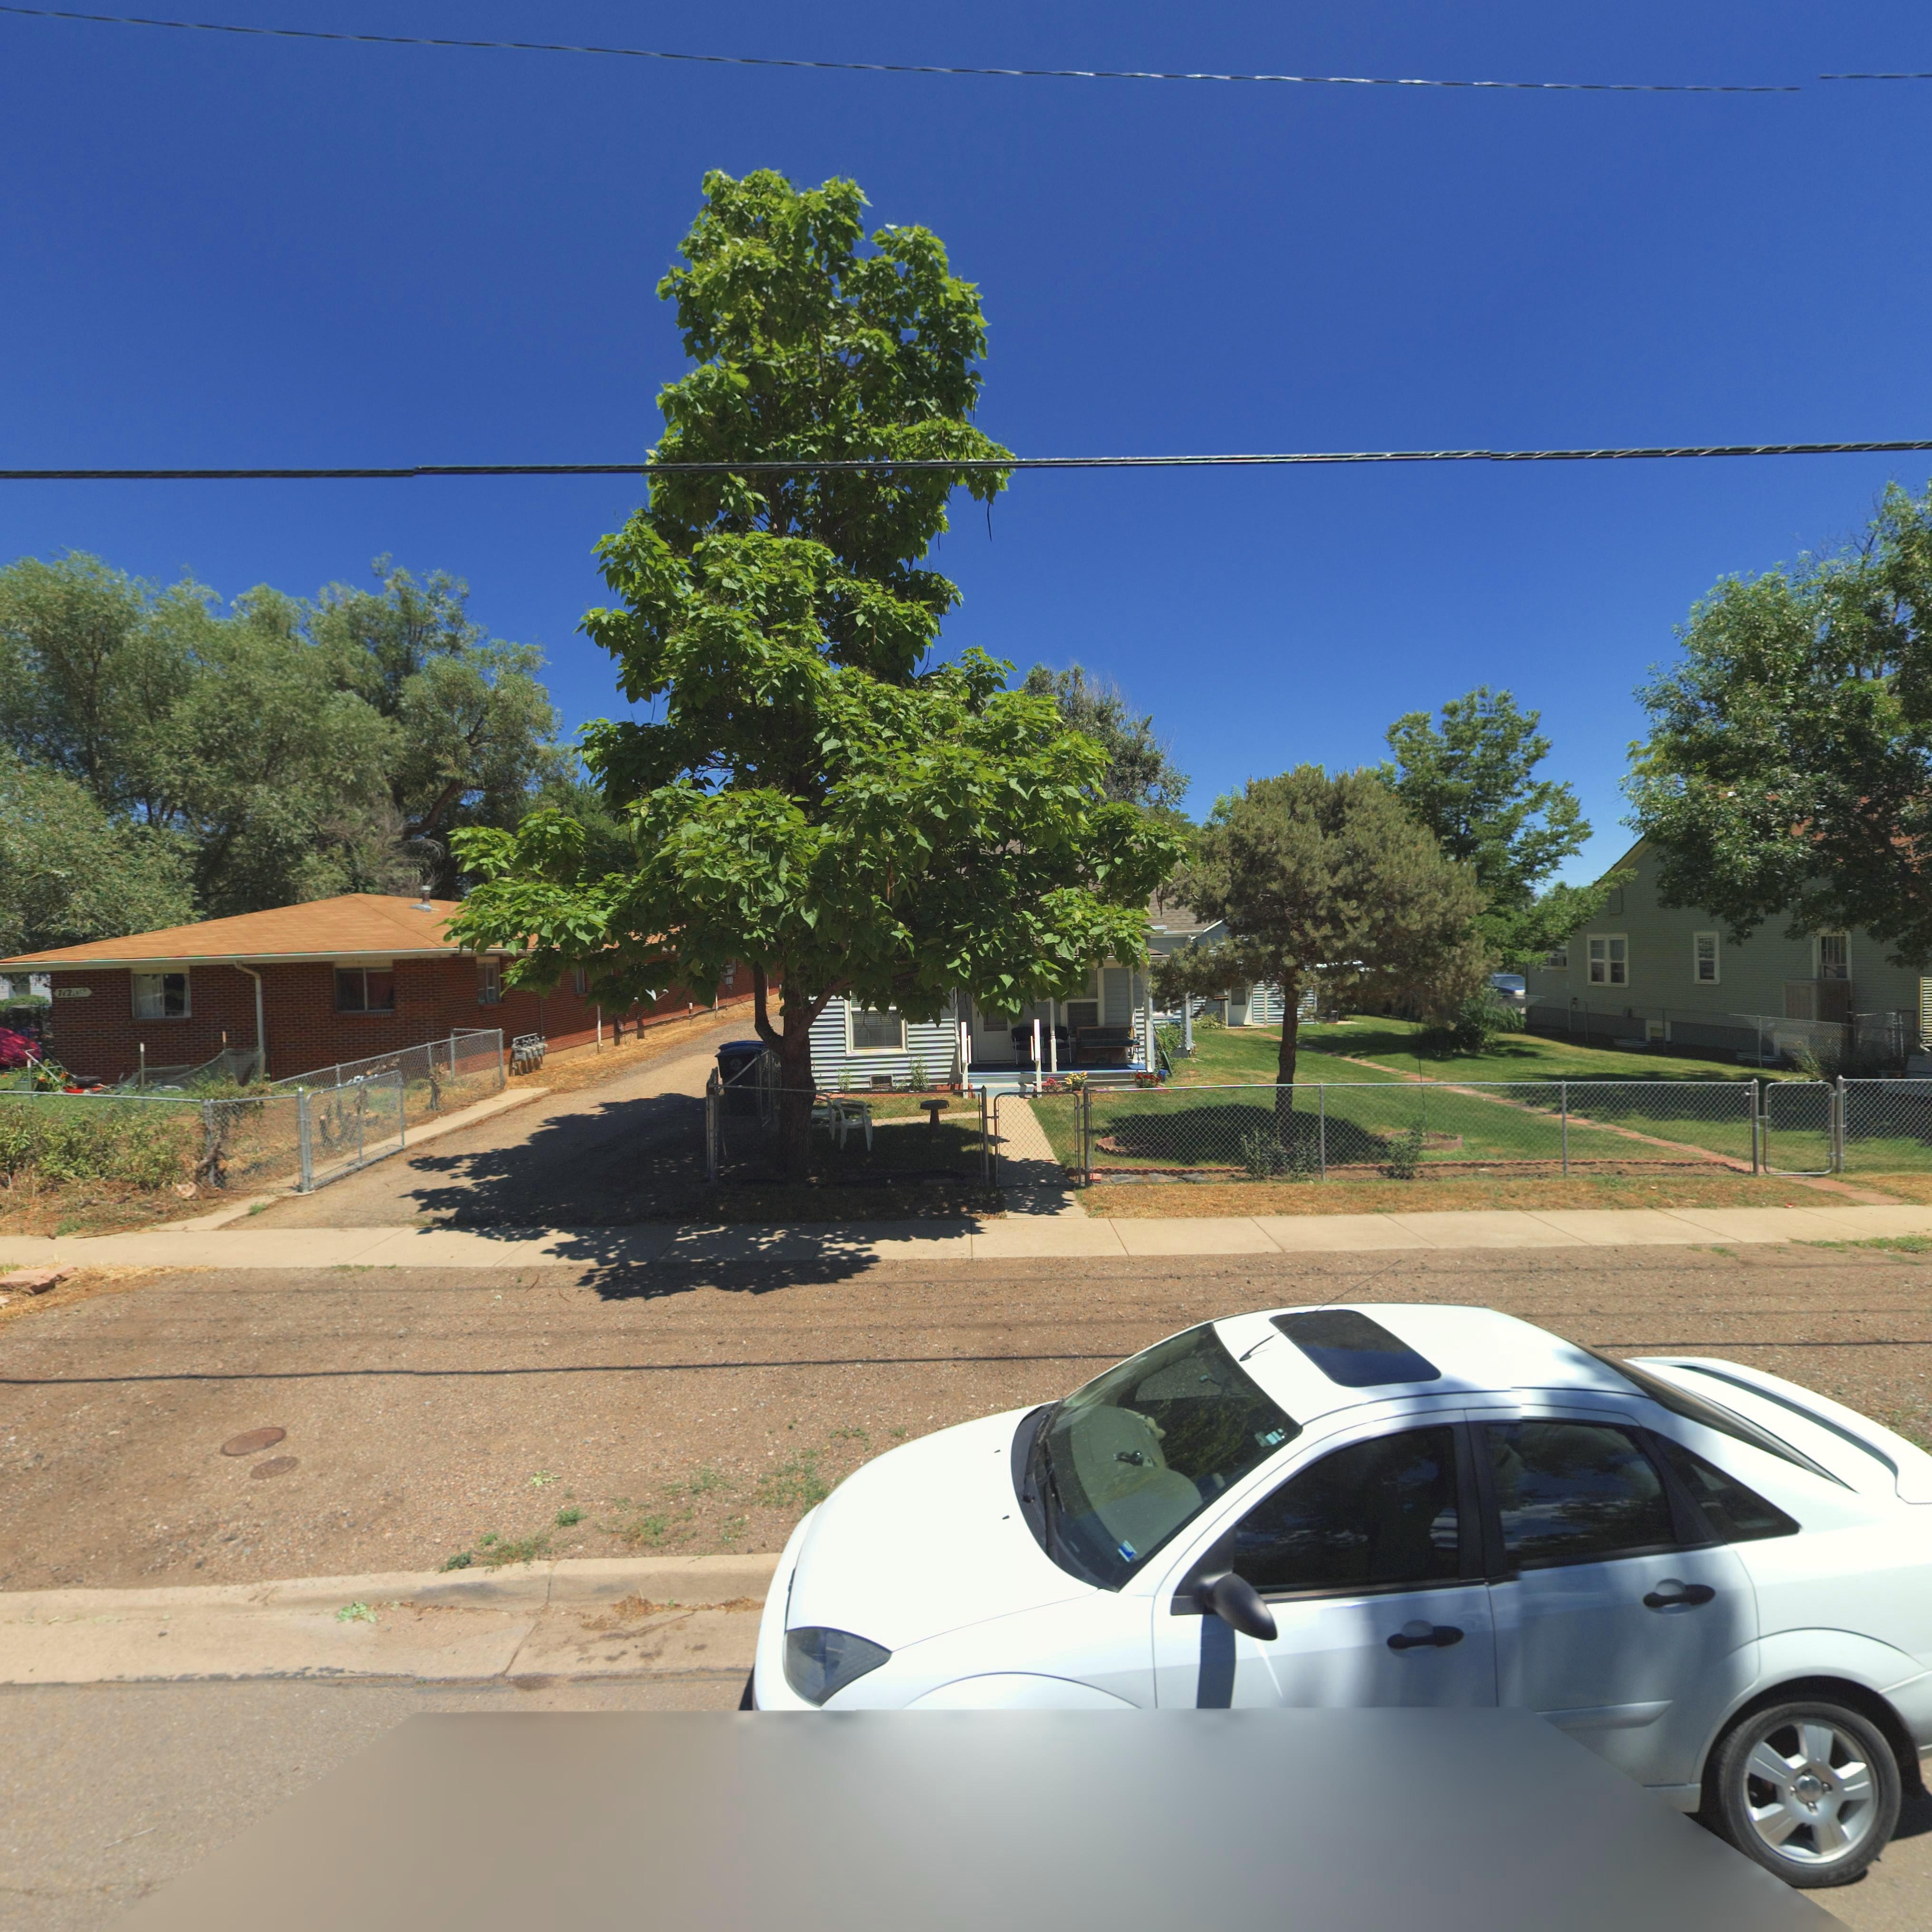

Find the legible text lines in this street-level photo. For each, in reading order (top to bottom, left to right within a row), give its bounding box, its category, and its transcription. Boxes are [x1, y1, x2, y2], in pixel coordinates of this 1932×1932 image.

[58, 989, 72, 996] StreetNumber: 712